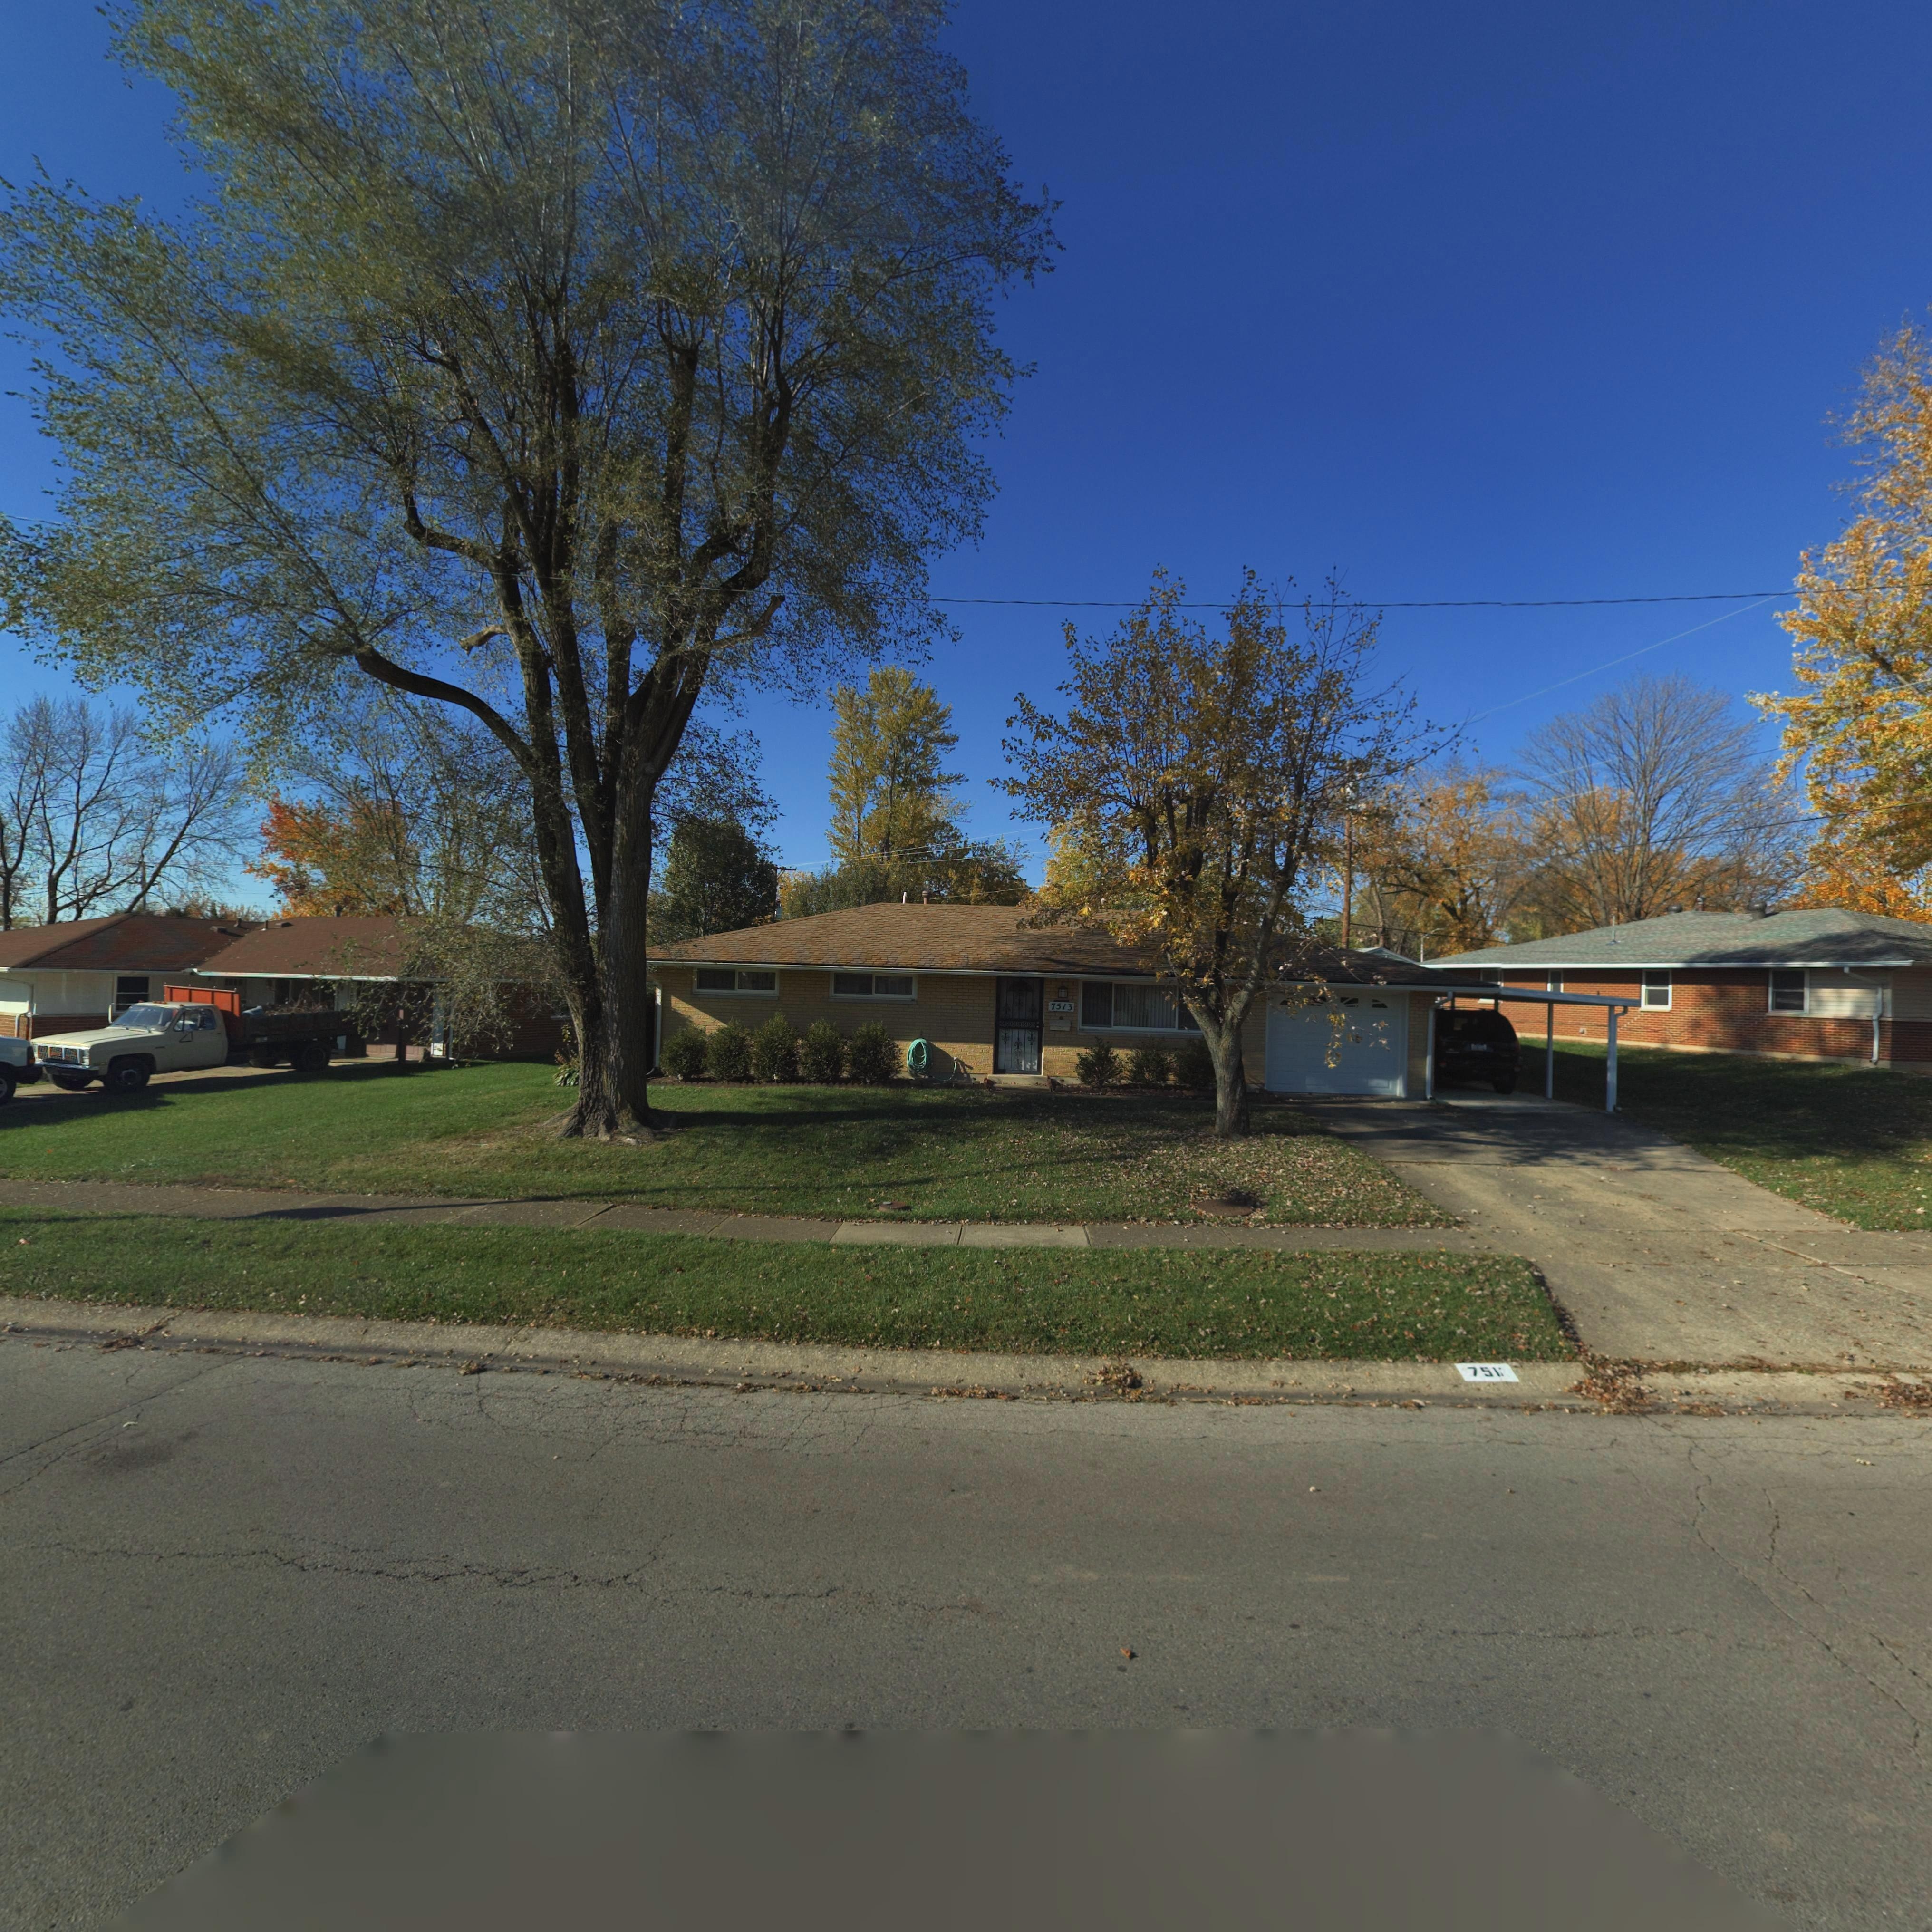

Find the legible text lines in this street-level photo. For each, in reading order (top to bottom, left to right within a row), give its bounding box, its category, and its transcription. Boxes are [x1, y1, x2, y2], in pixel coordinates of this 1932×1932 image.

[1050, 1002, 1074, 1012] StreetNumber: 7513
[1465, 1365, 1502, 1379] StreetNumber: 751